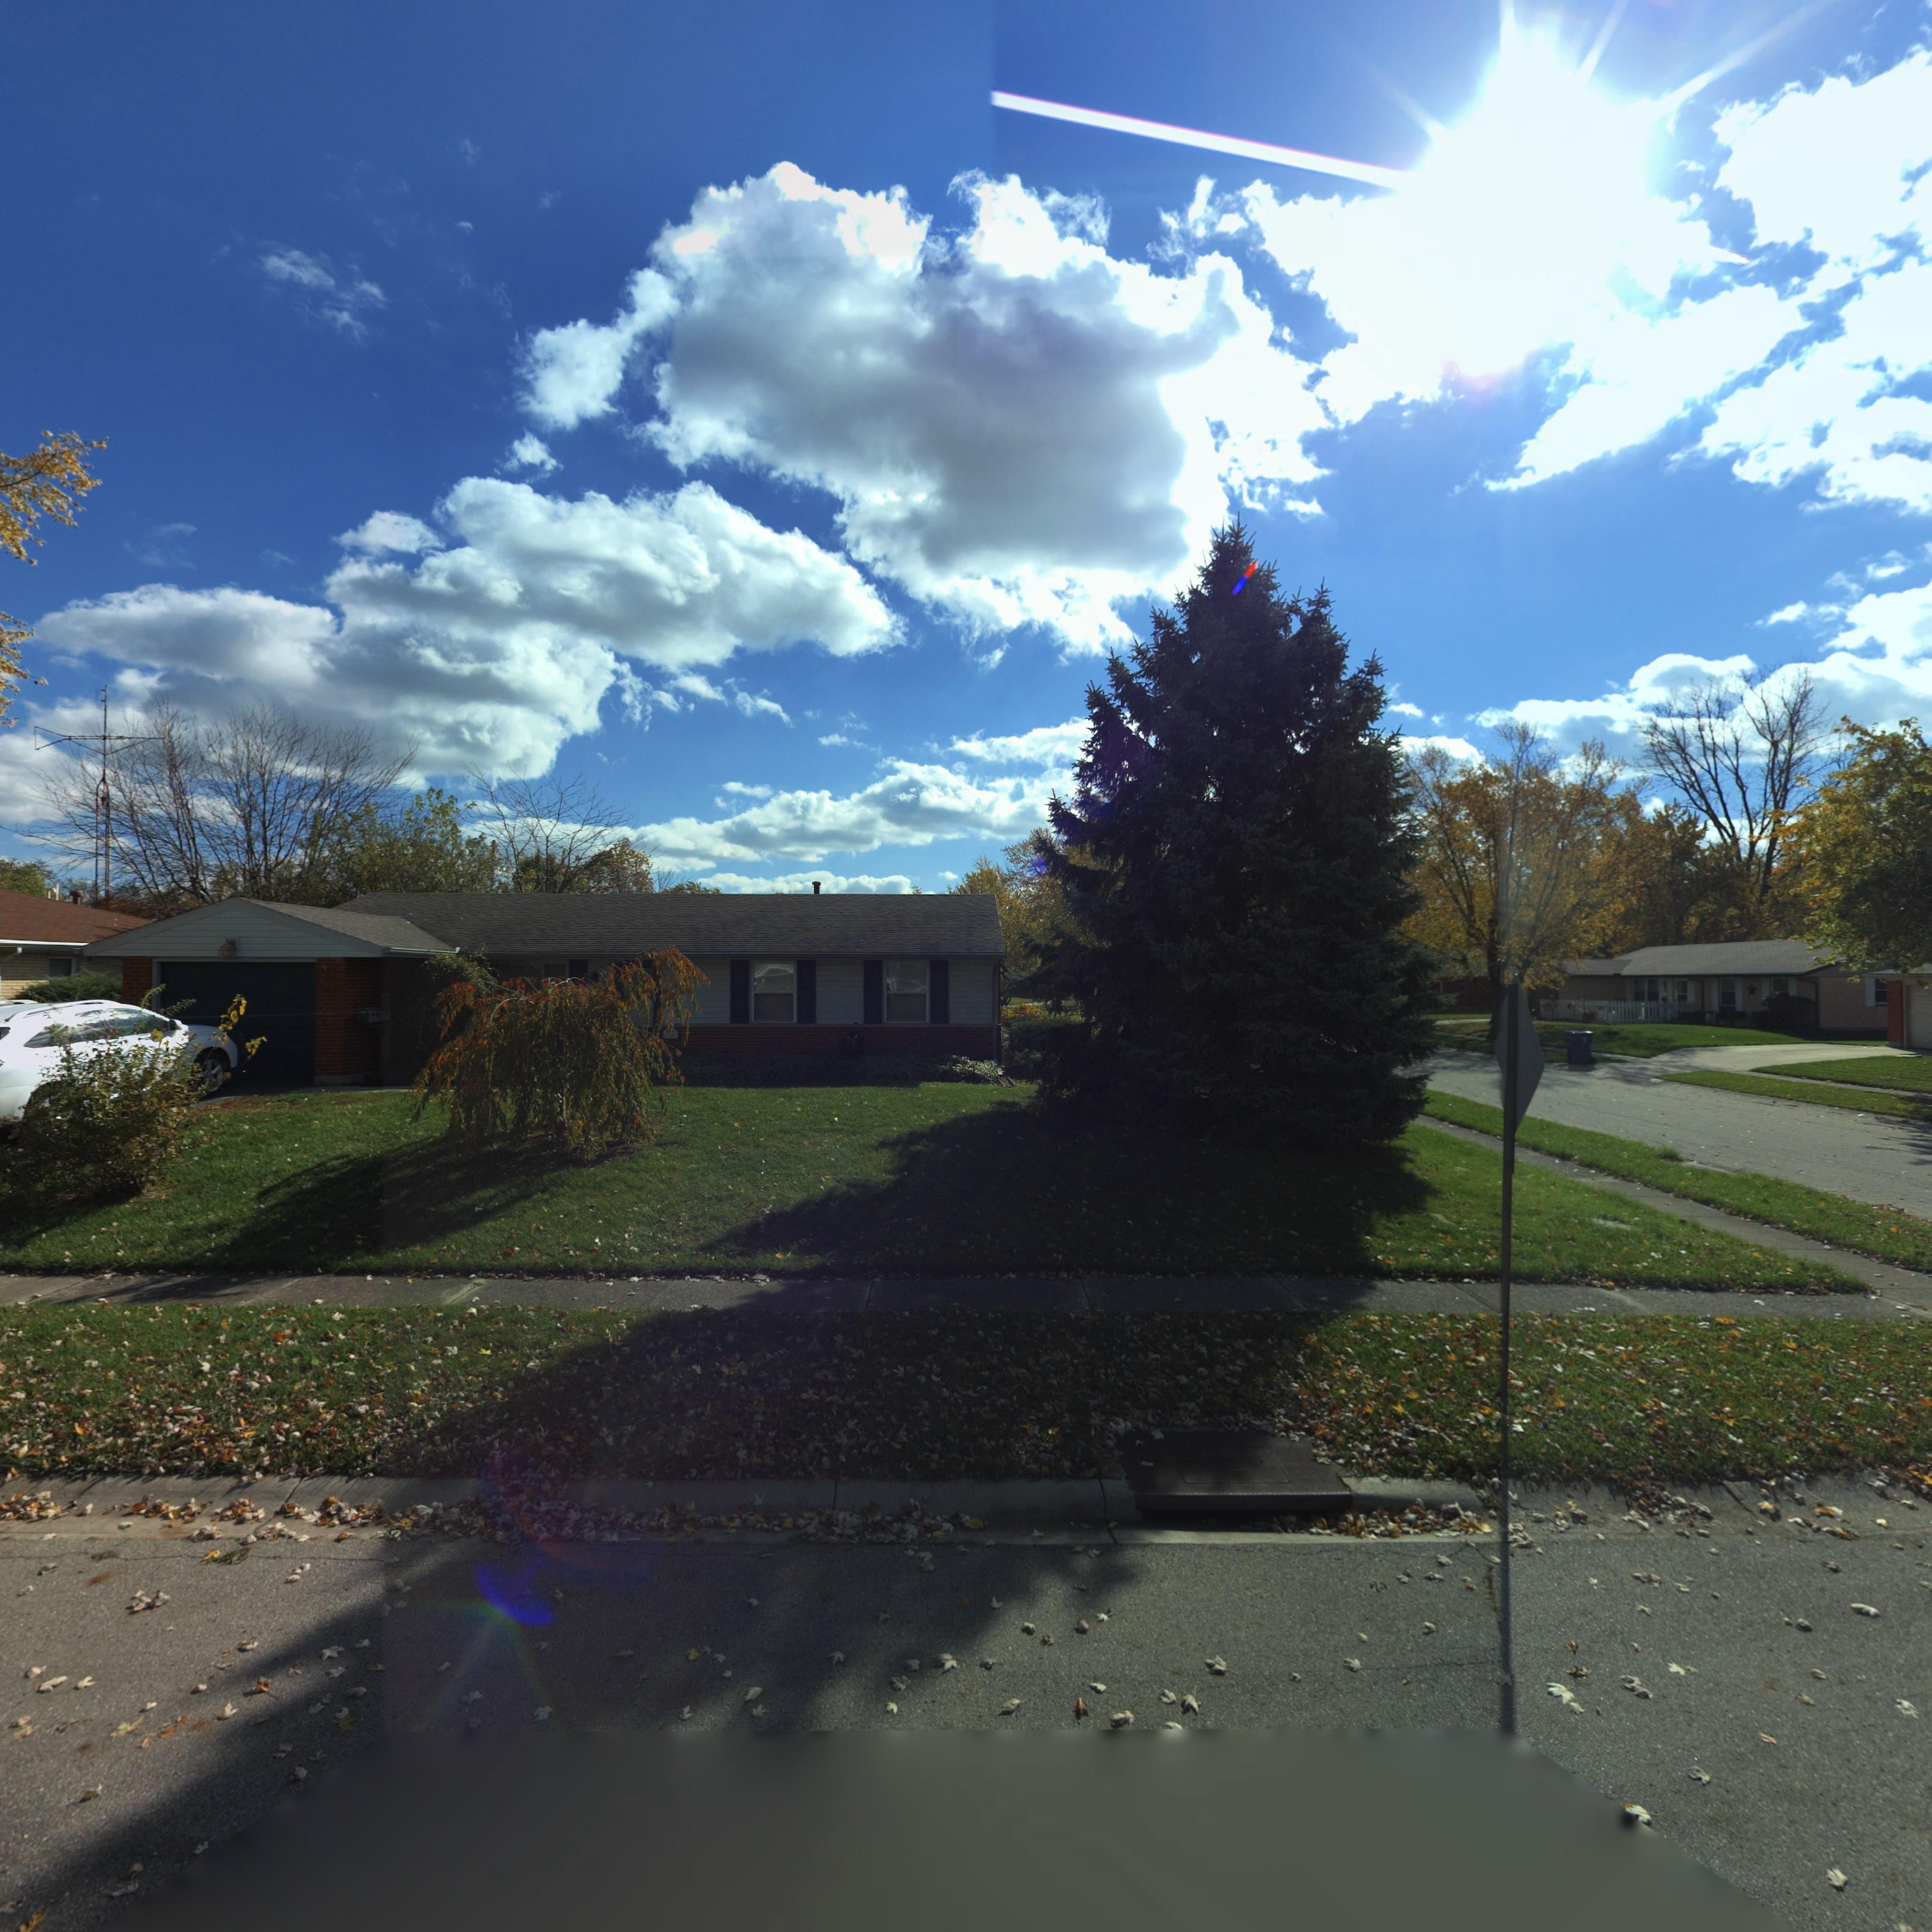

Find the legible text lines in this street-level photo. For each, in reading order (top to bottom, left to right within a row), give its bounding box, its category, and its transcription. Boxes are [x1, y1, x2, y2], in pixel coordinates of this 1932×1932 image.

[664, 1033, 677, 1037] StreetNumber: 67**2